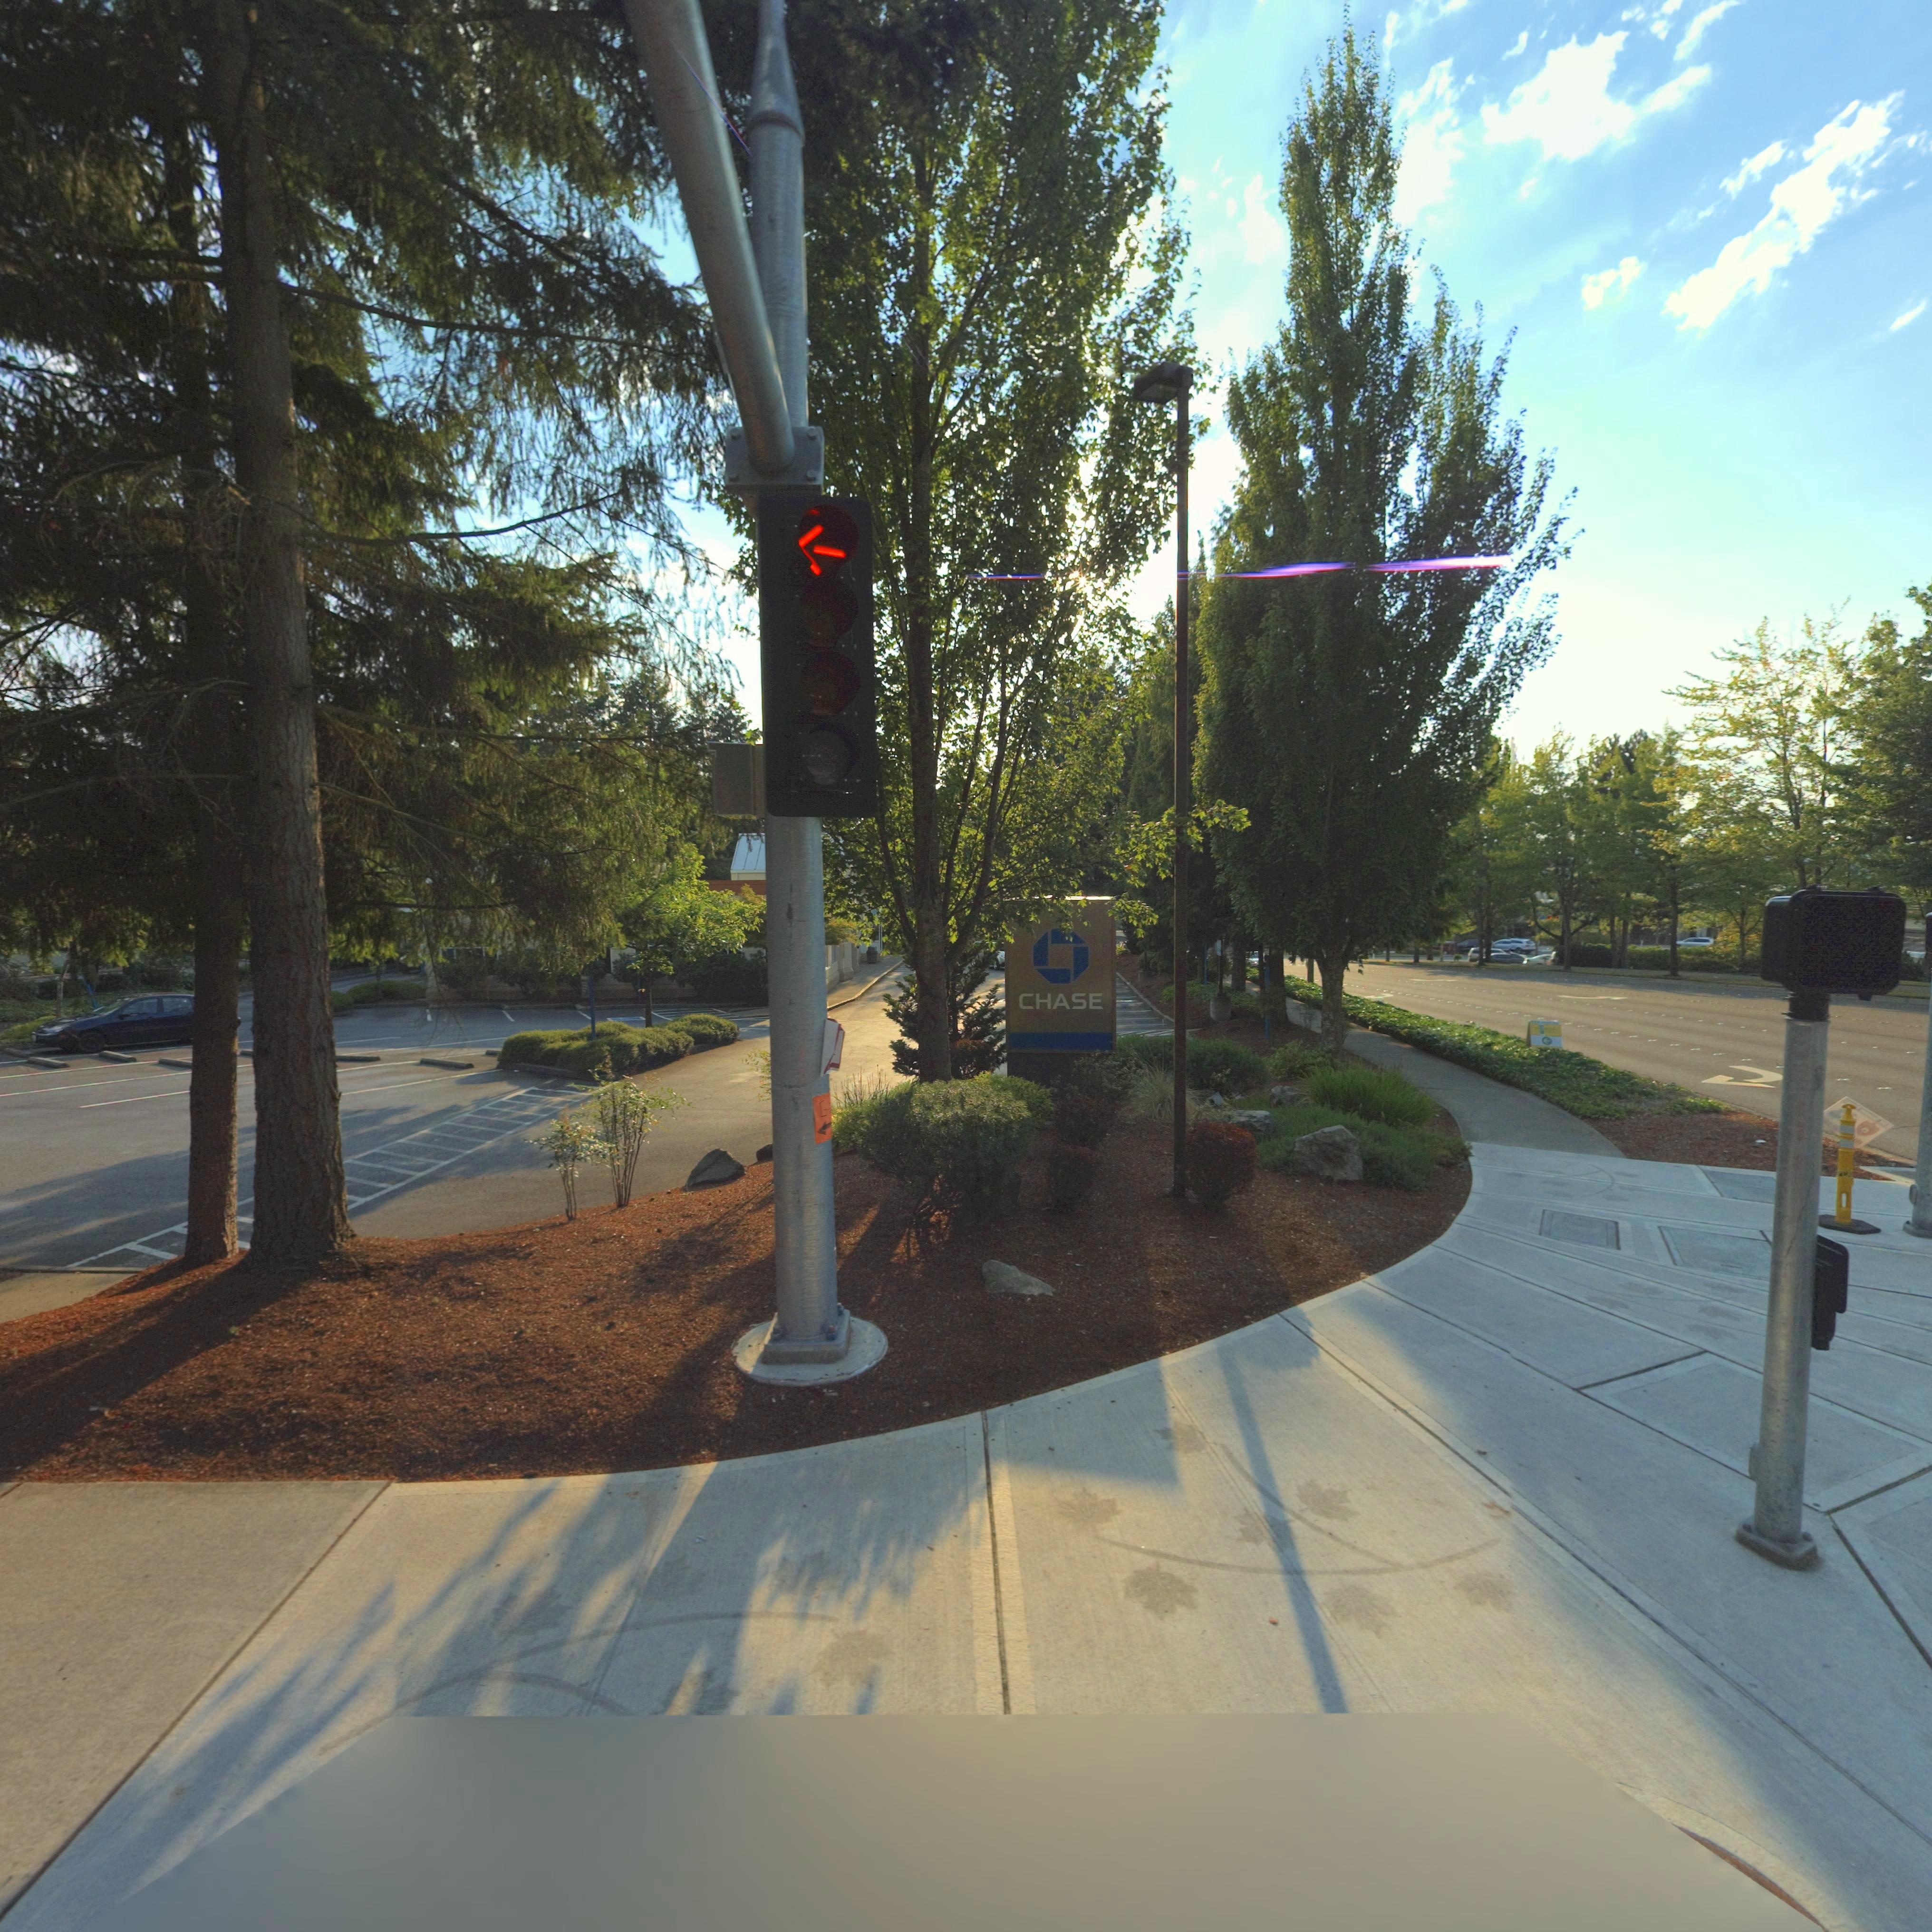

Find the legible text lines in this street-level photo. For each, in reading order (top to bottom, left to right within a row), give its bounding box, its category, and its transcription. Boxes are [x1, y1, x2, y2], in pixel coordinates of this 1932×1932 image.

[1019, 993, 1102, 1009] BusinessName: CHASE